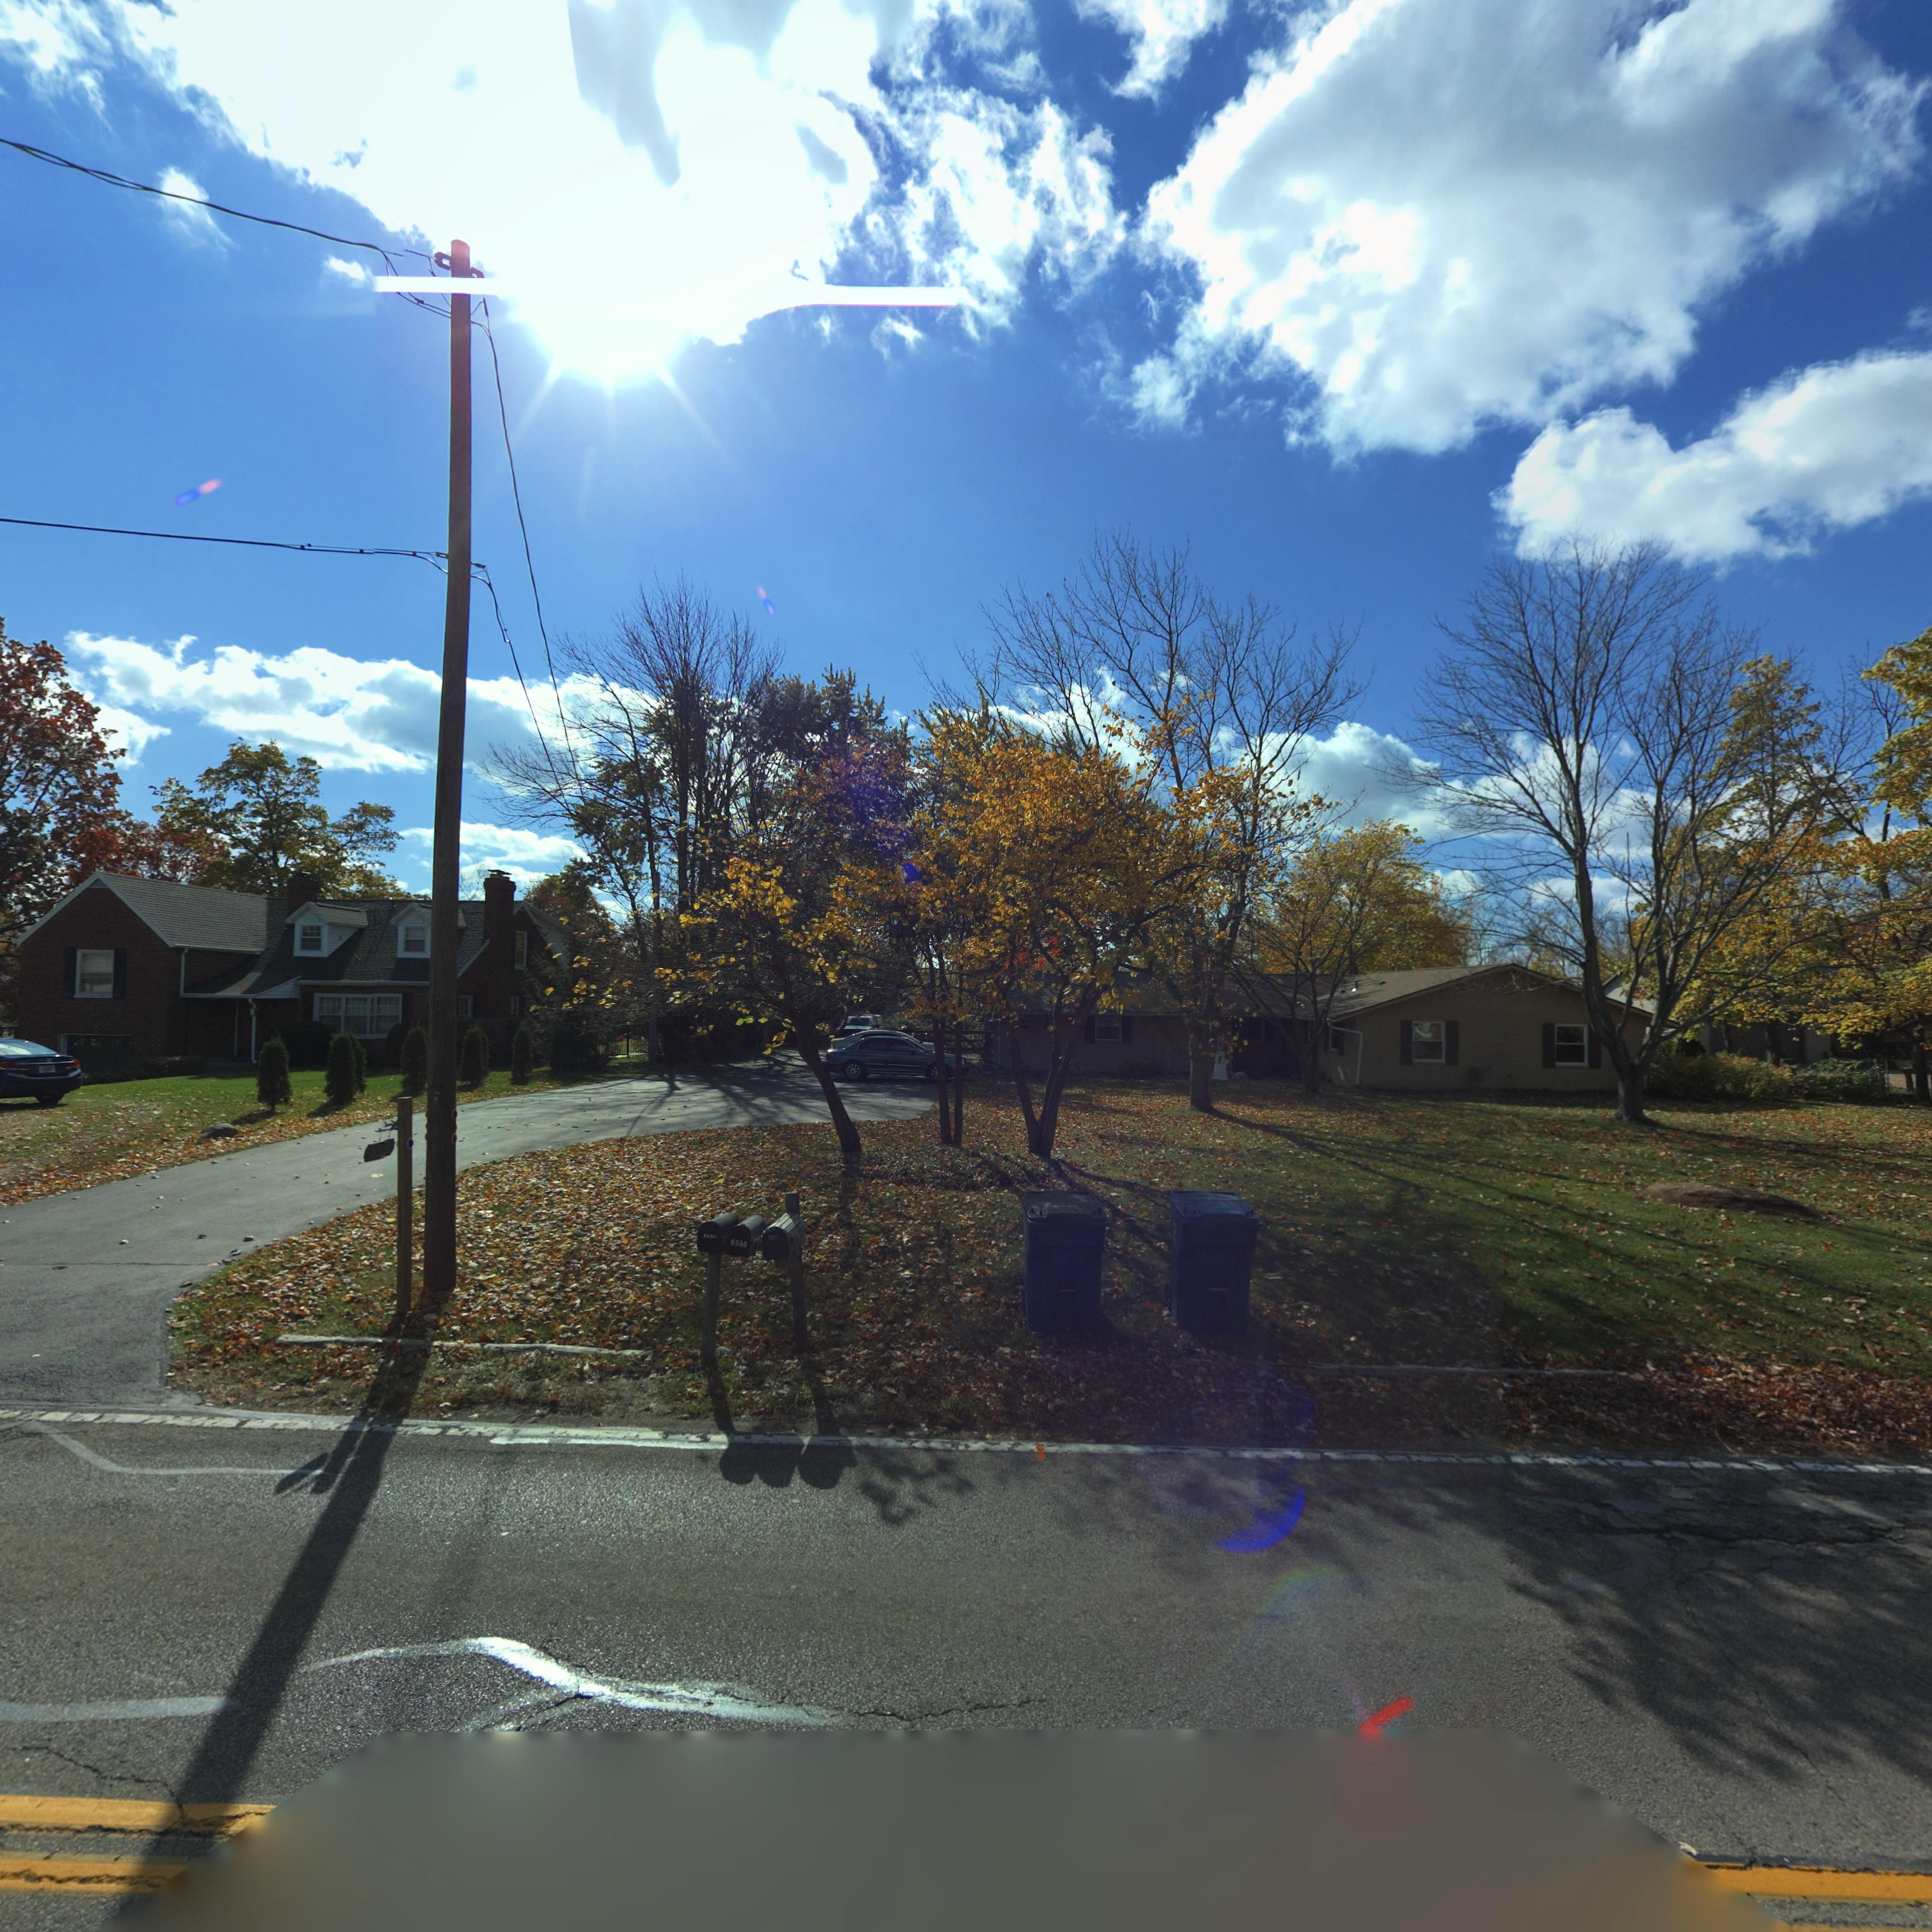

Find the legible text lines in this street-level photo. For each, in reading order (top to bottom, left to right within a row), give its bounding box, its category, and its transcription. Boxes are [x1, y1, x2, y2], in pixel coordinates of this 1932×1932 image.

[368, 1144, 383, 1159] StreetNumber: 65
[730, 1238, 748, 1249] StreetNumber: 6553